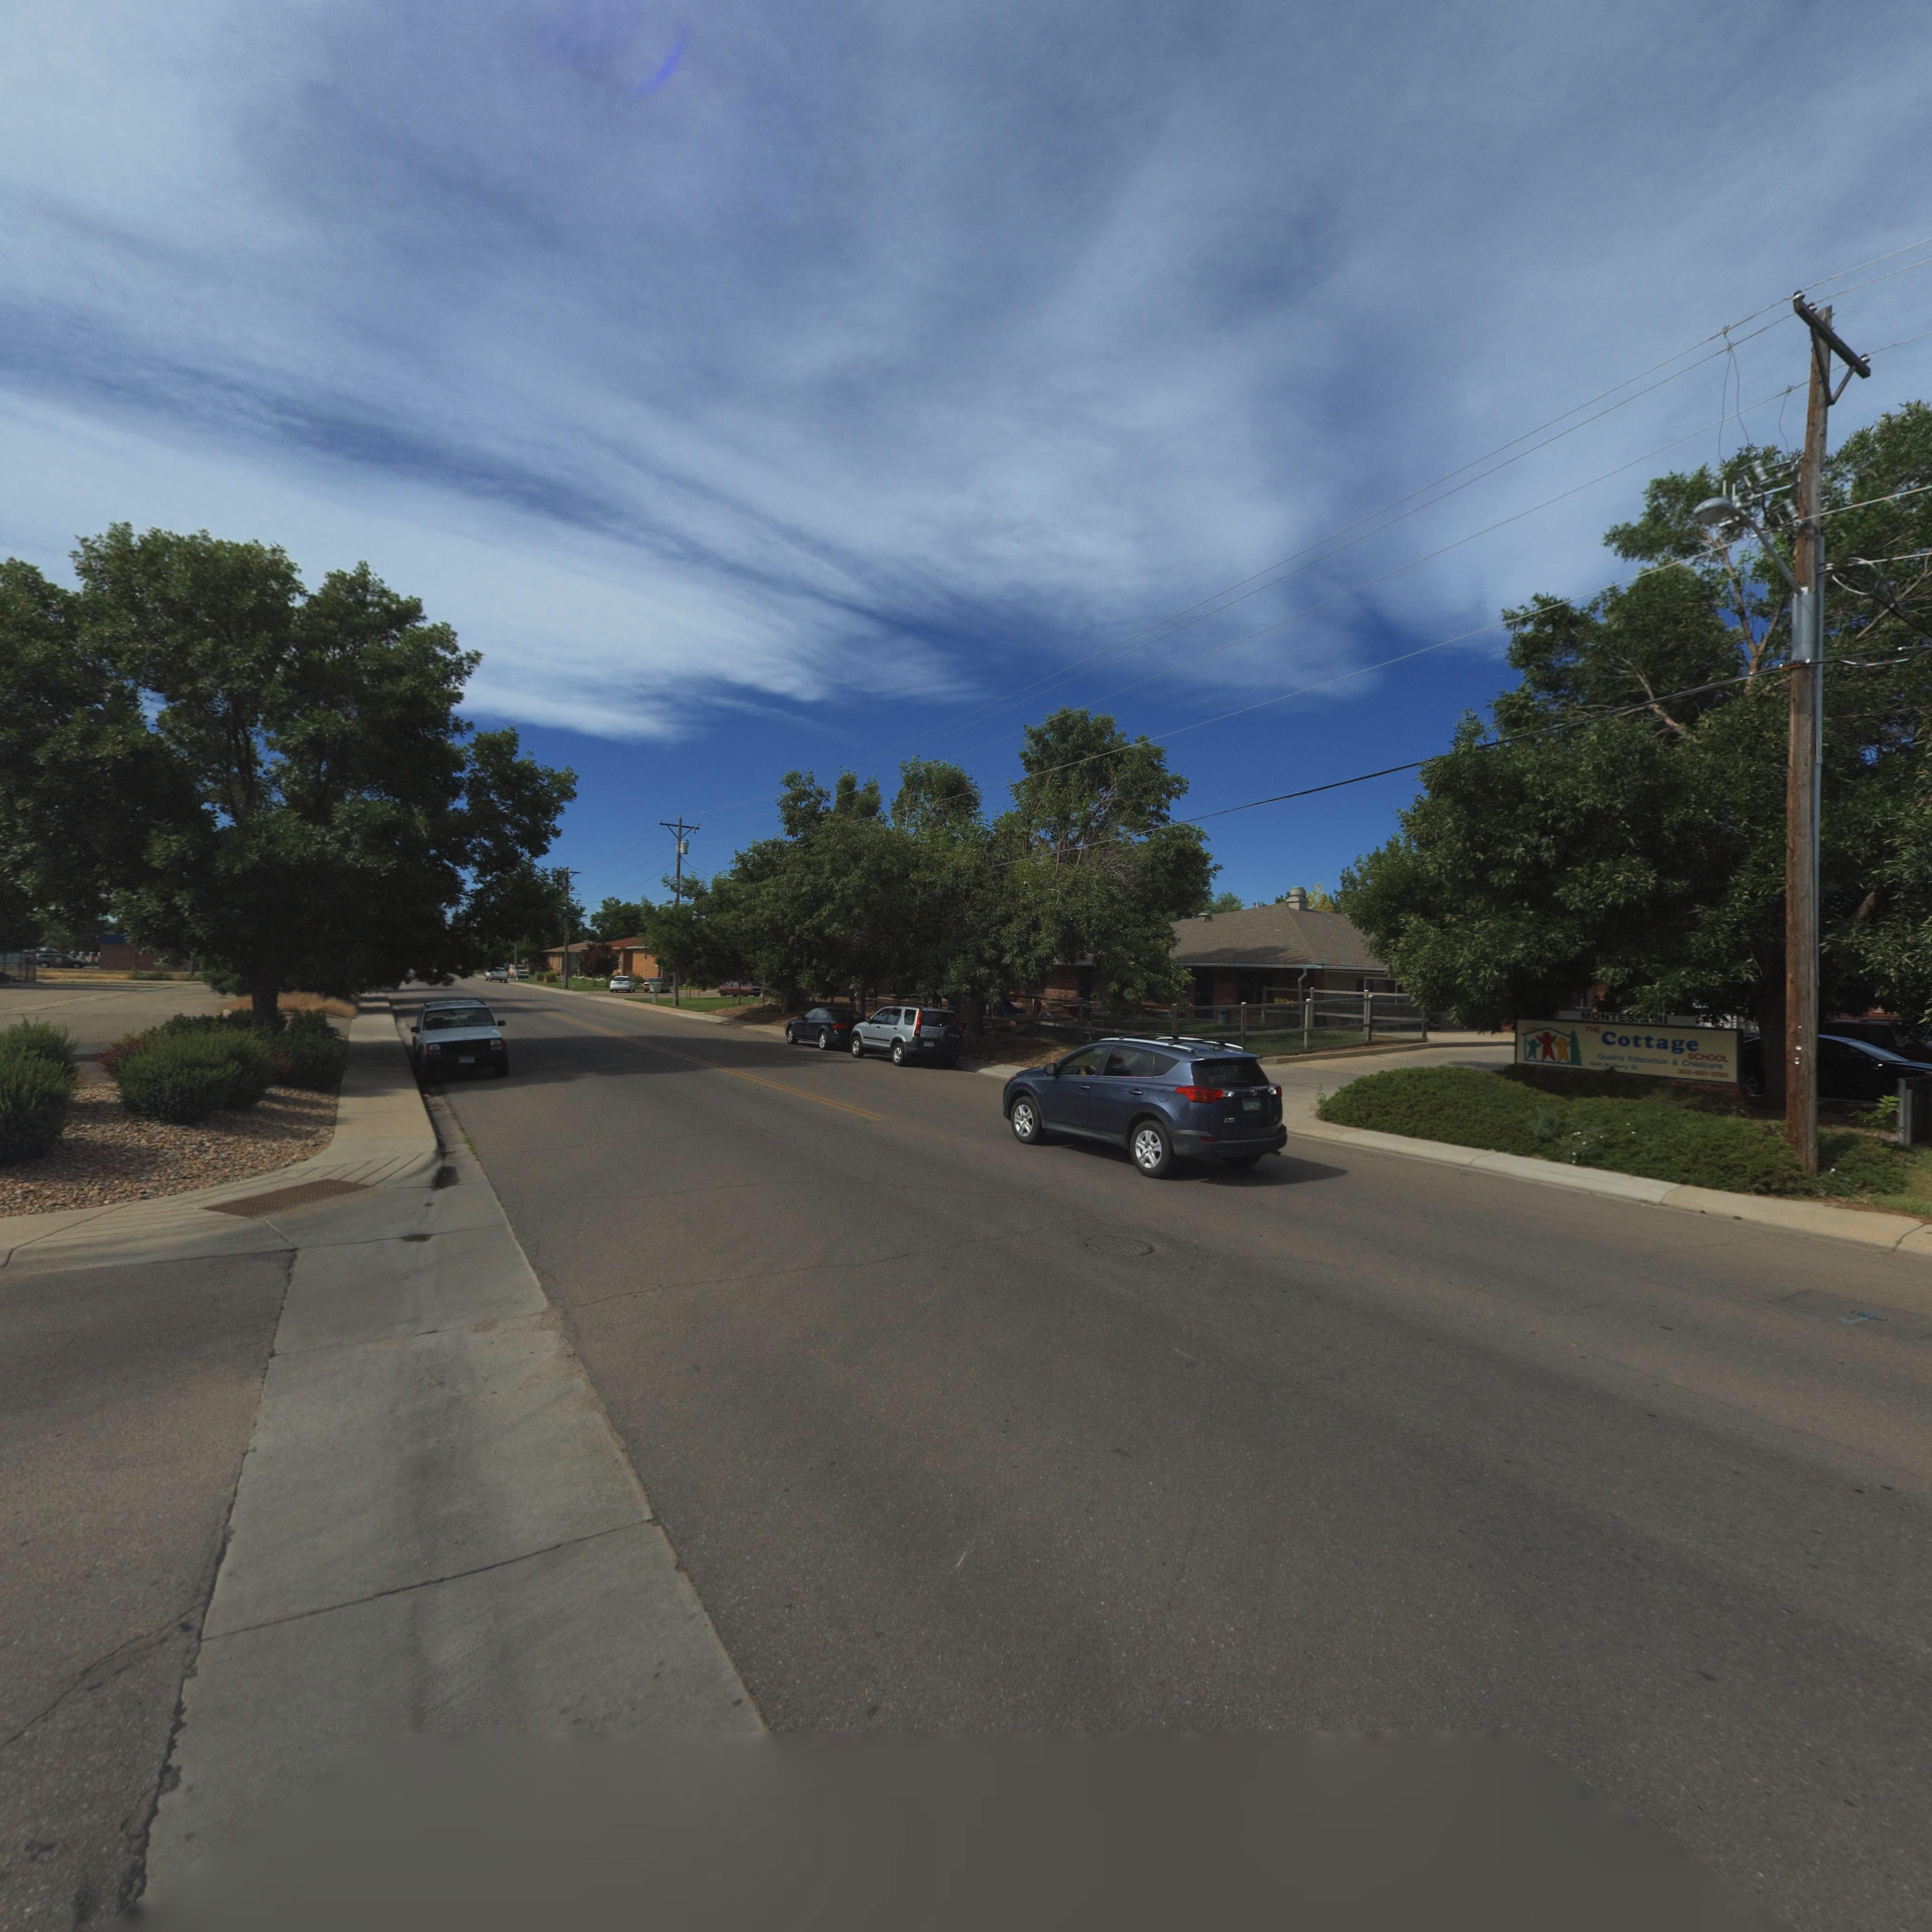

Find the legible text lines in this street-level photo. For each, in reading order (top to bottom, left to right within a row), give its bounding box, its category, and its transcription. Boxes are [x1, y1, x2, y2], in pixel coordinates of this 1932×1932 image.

[1287, 979, 1296, 985] StreetNumber: 194
[1584, 1025, 1600, 1033] BusinessName: THE 
[1600, 1030, 1699, 1054] BusinessName: Cottage
[1687, 1052, 1729, 1063] BusinessName: SCHOOL